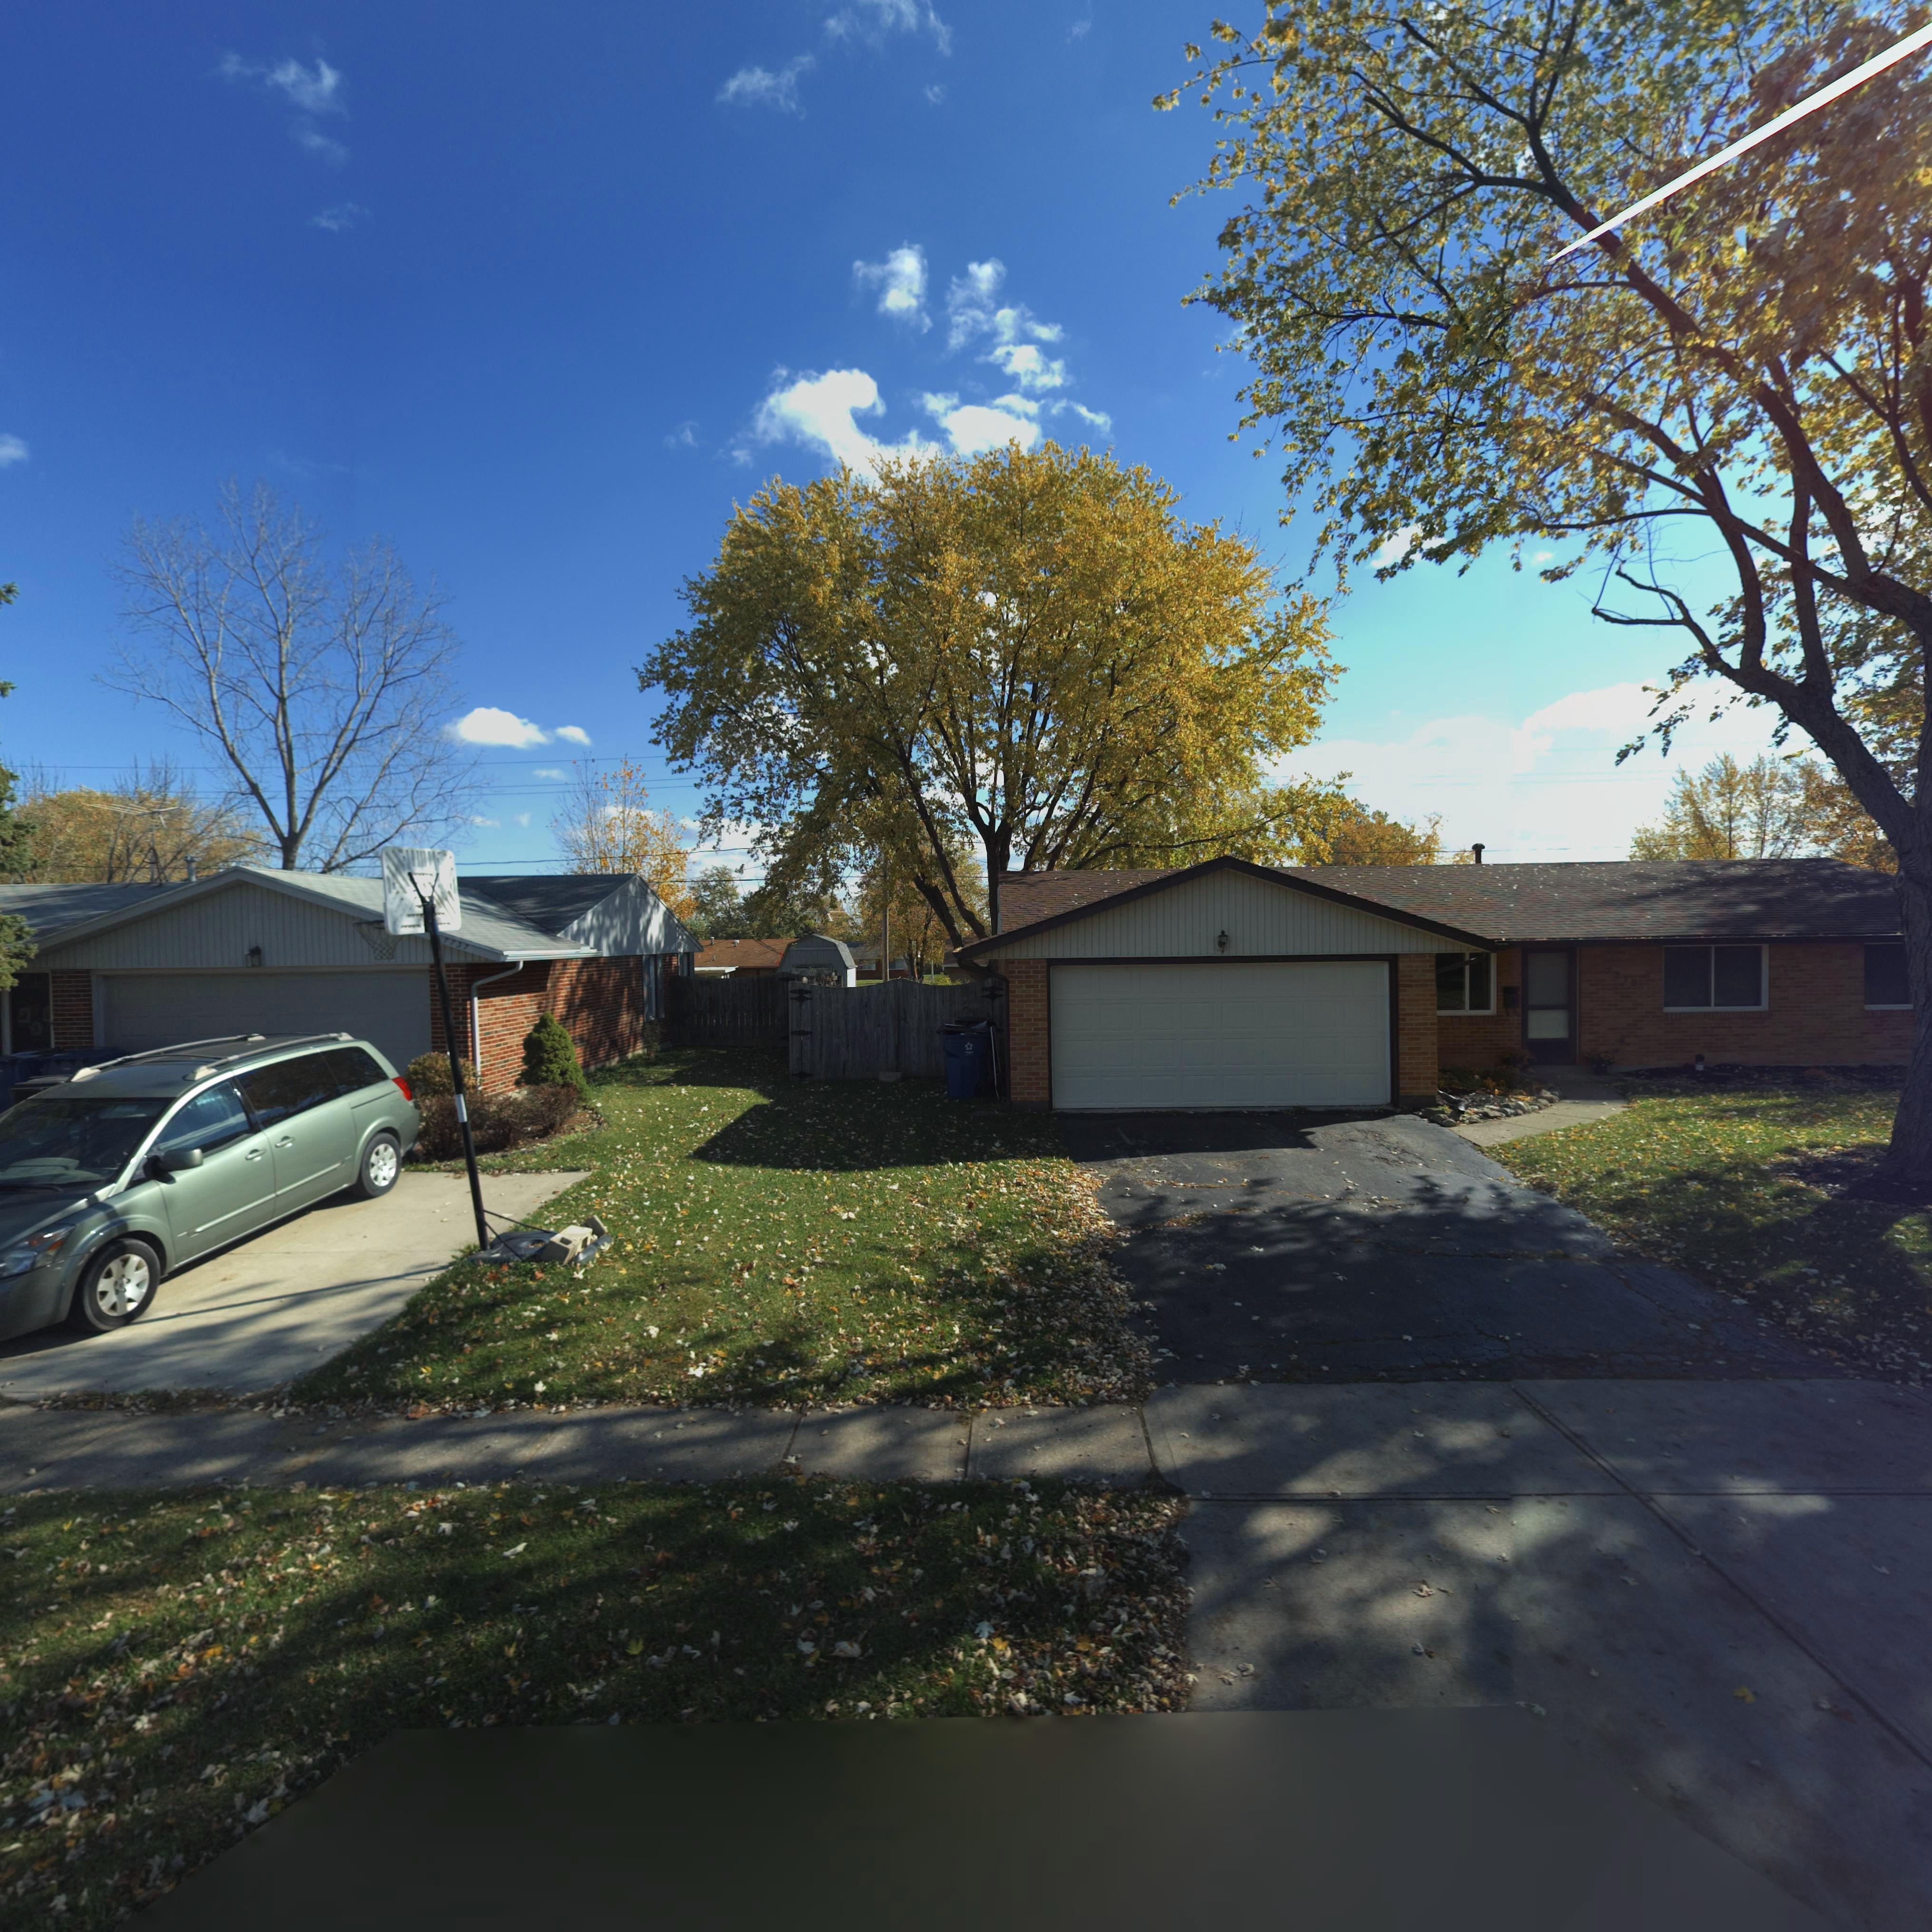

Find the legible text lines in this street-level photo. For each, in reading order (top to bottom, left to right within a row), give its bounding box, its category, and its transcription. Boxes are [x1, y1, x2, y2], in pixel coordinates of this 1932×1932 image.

[441, 935, 471, 952] StreetNumber: 77*7
[1604, 966, 1639, 988] StreetNumber: 7*1*